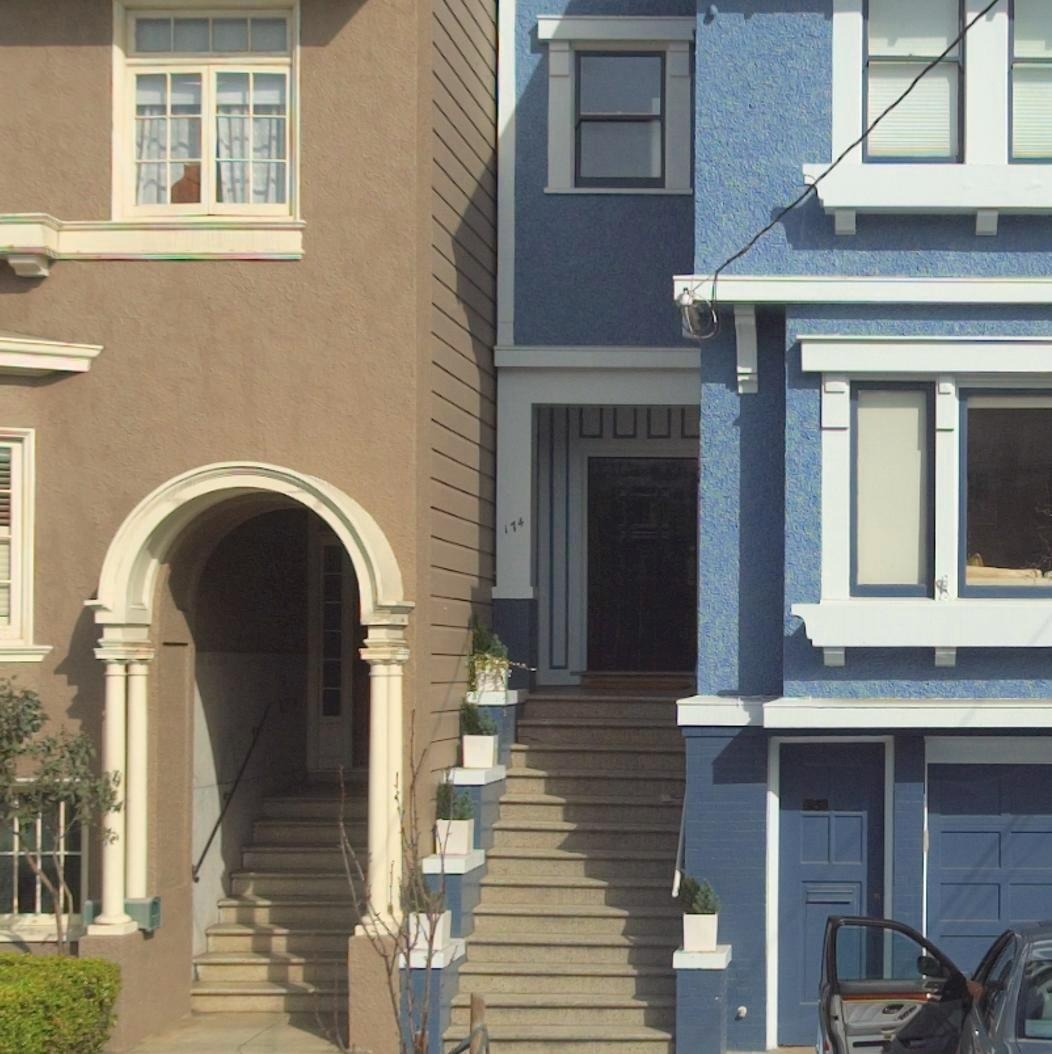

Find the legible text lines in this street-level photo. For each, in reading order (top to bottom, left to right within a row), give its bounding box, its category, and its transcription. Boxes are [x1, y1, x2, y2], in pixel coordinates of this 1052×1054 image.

[503, 515, 526, 535] StreetNumber: 174